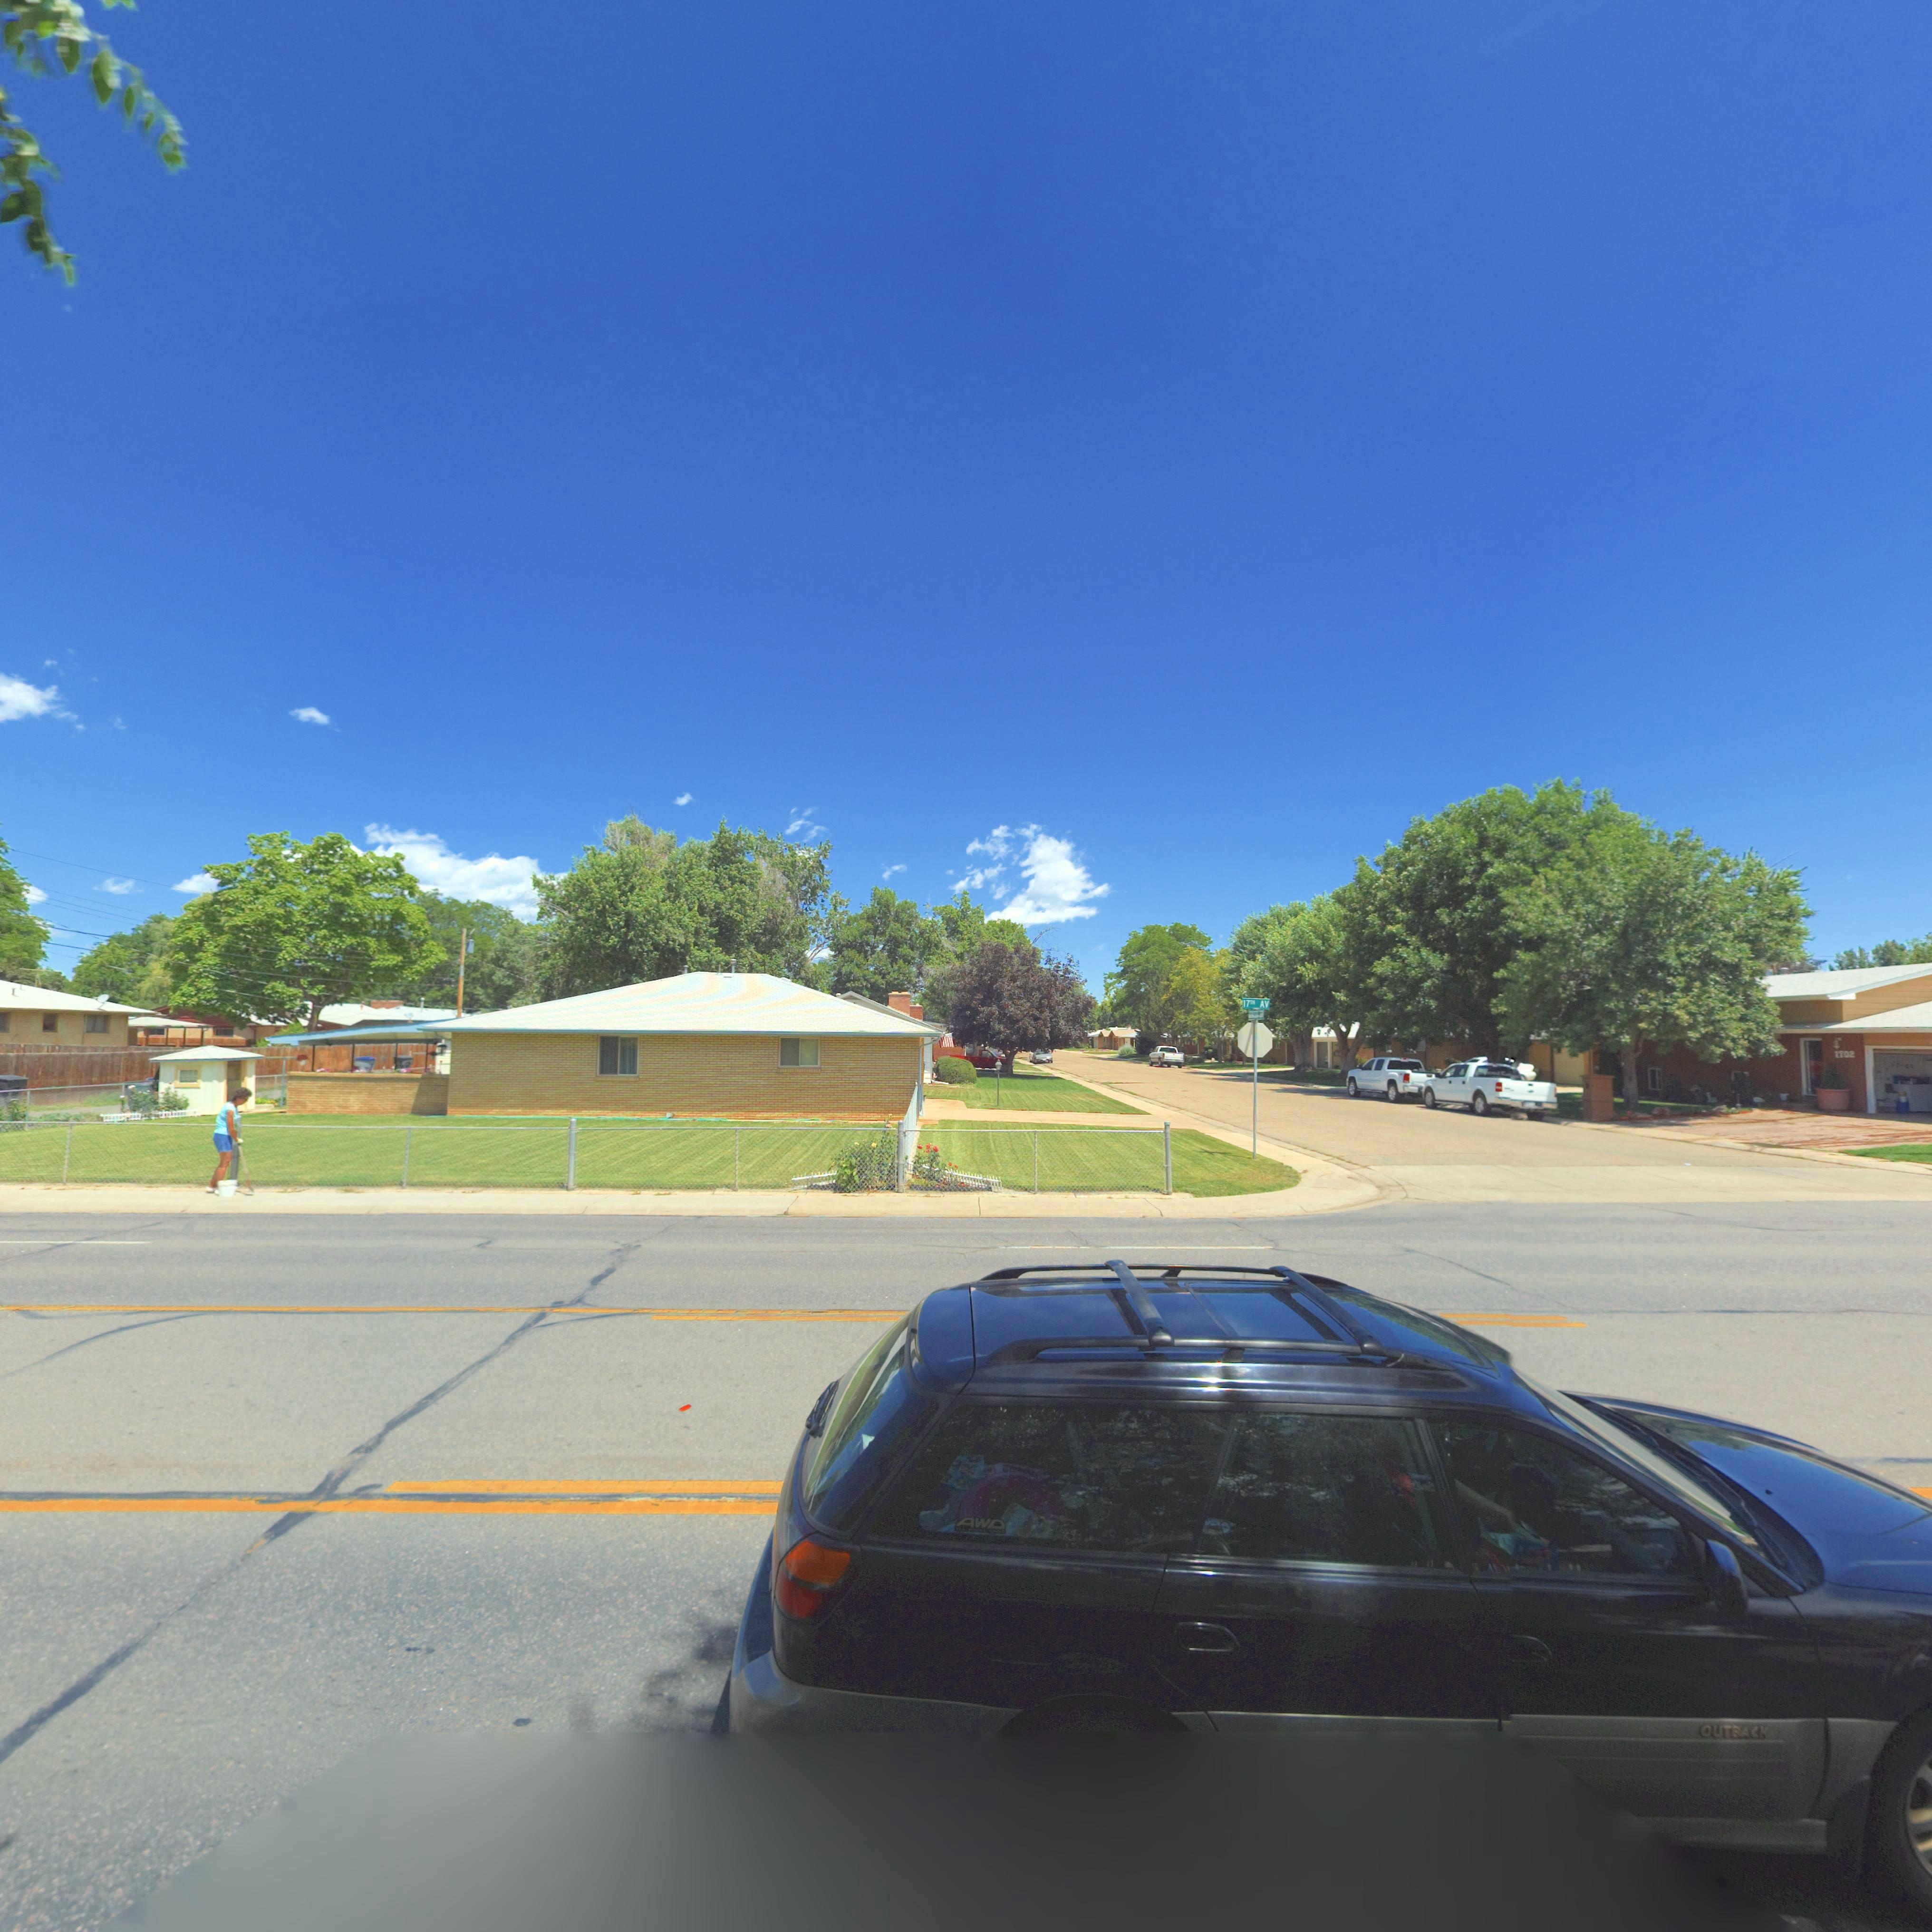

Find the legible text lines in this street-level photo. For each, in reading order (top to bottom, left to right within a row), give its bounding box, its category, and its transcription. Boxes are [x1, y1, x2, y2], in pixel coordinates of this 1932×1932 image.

[1244, 999, 1269, 1007] StreetName: 17** AV
[1834, 1050, 1856, 1058] StreetNumber: 1*02